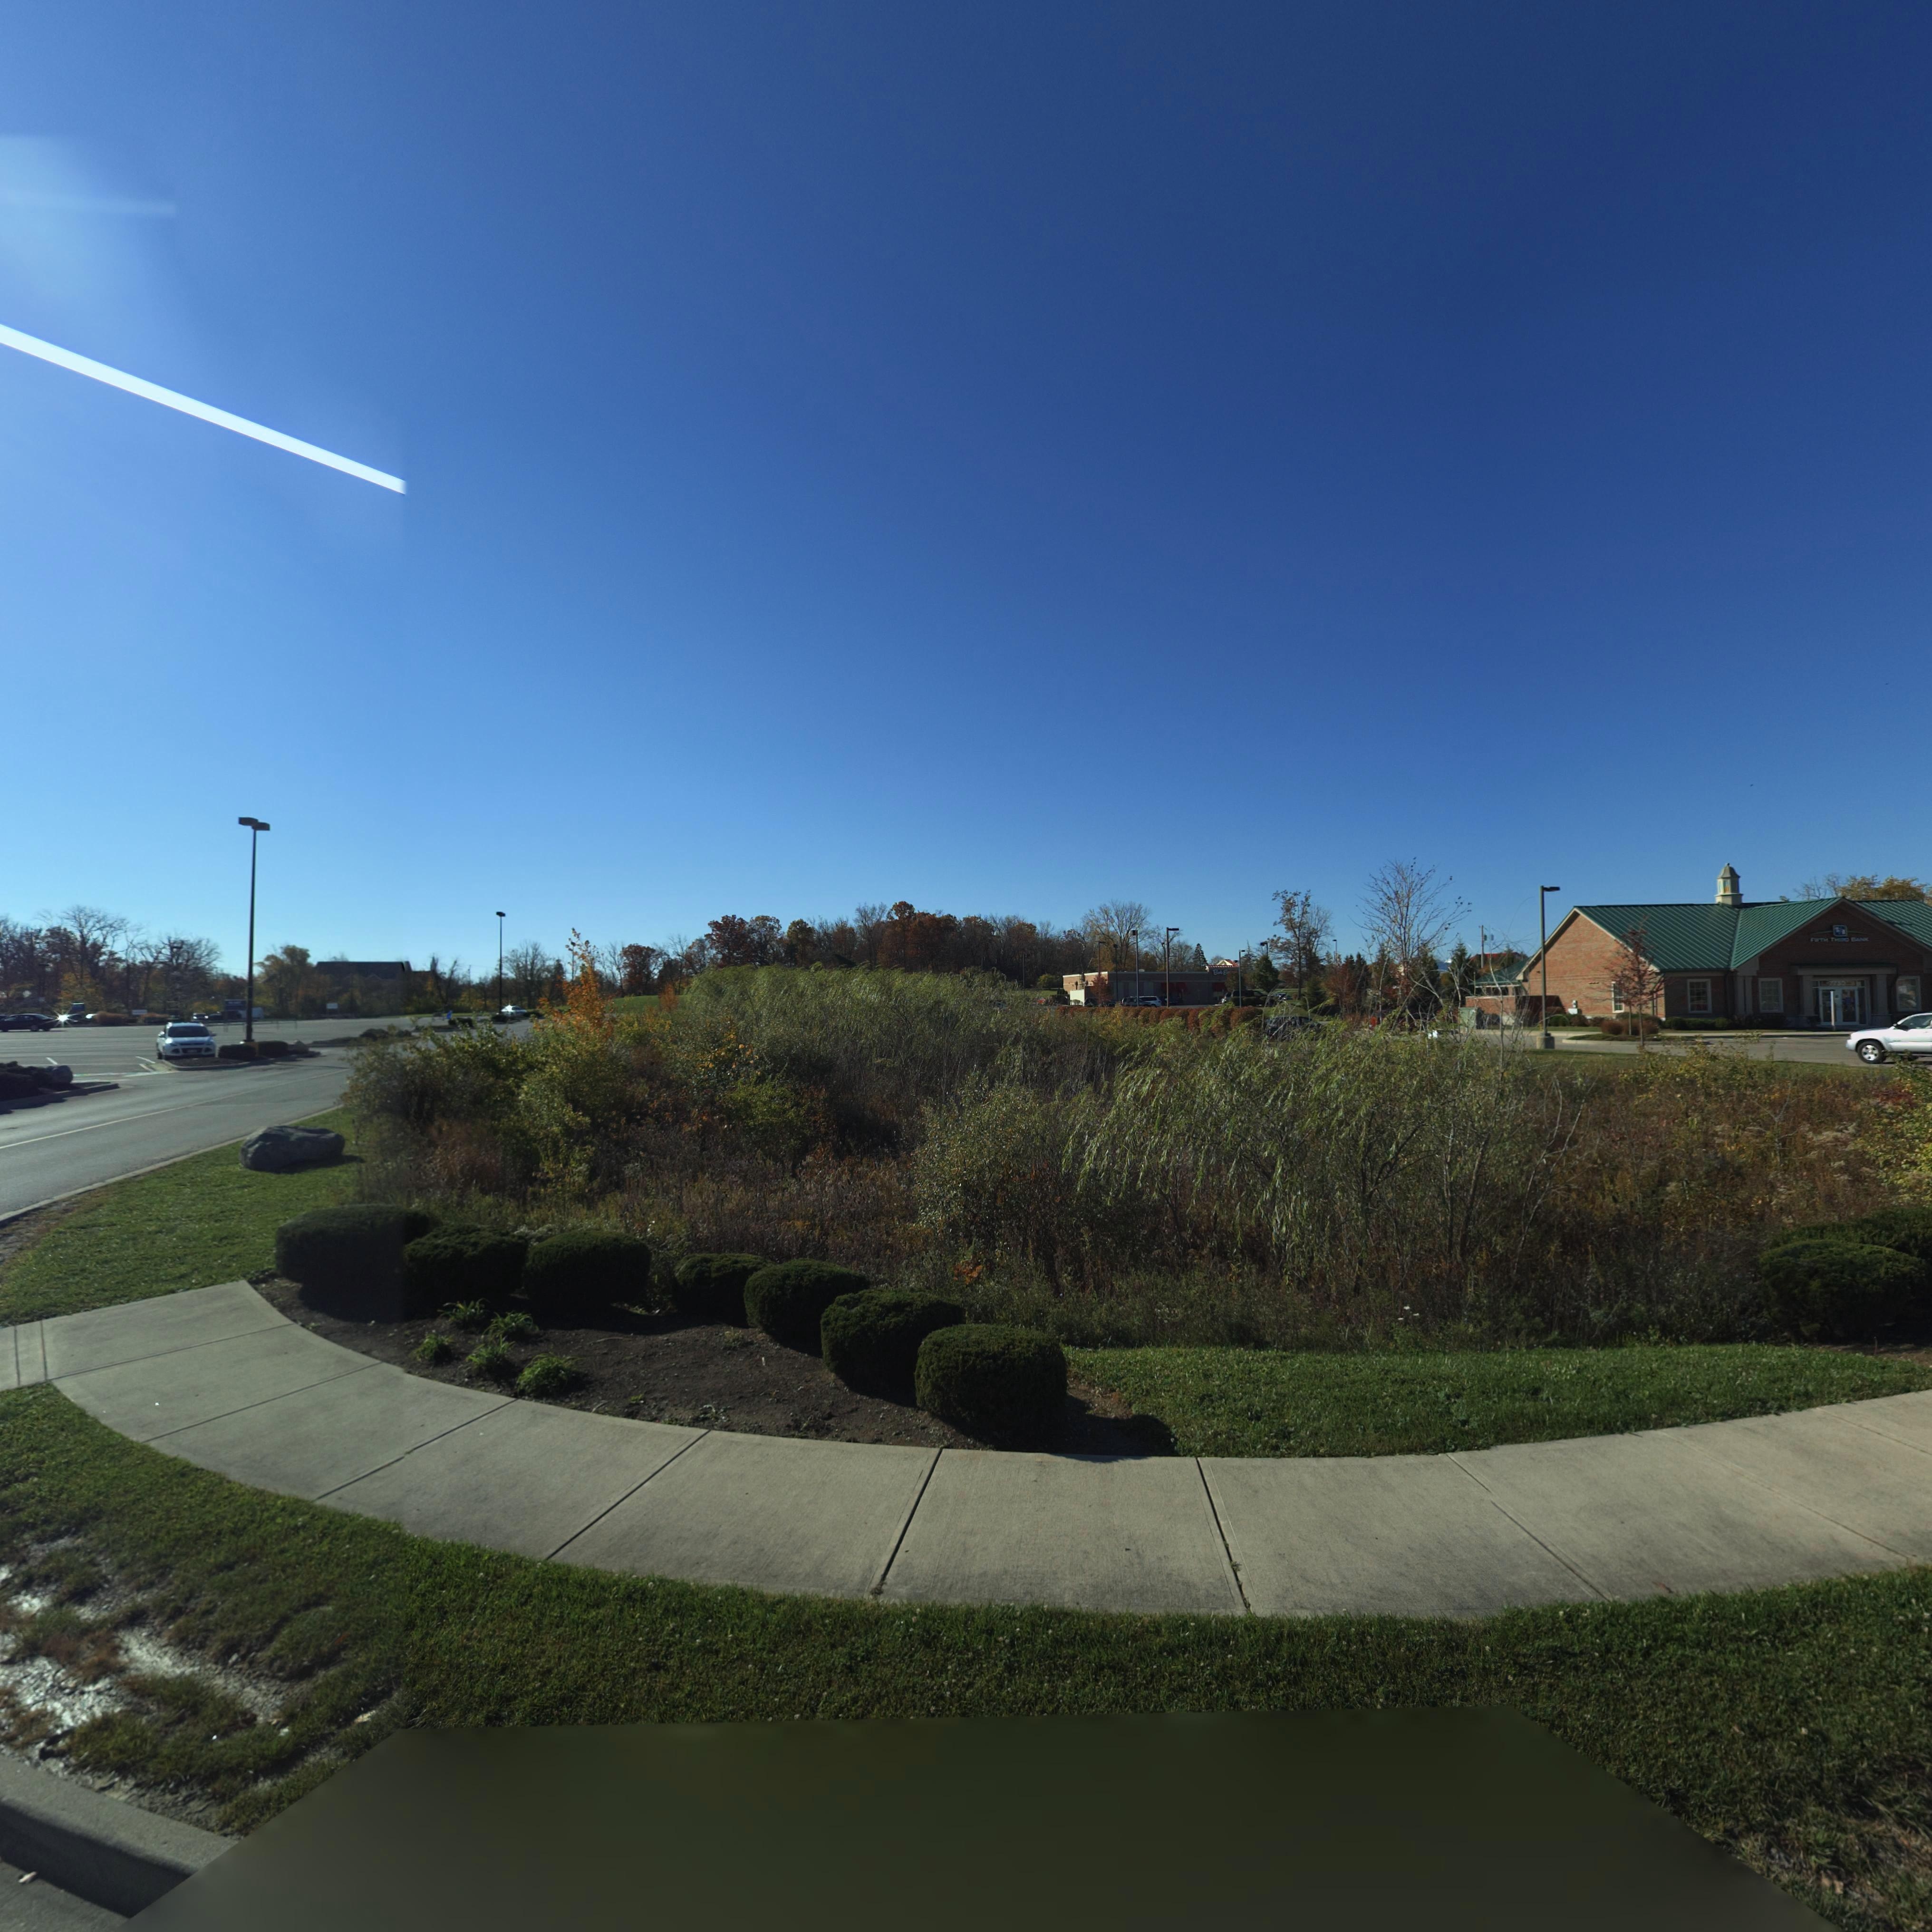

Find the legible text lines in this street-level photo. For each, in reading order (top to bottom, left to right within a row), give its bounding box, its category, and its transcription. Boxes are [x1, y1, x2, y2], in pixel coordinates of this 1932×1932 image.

[1828, 980, 1847, 986] StreetNumber: 7730